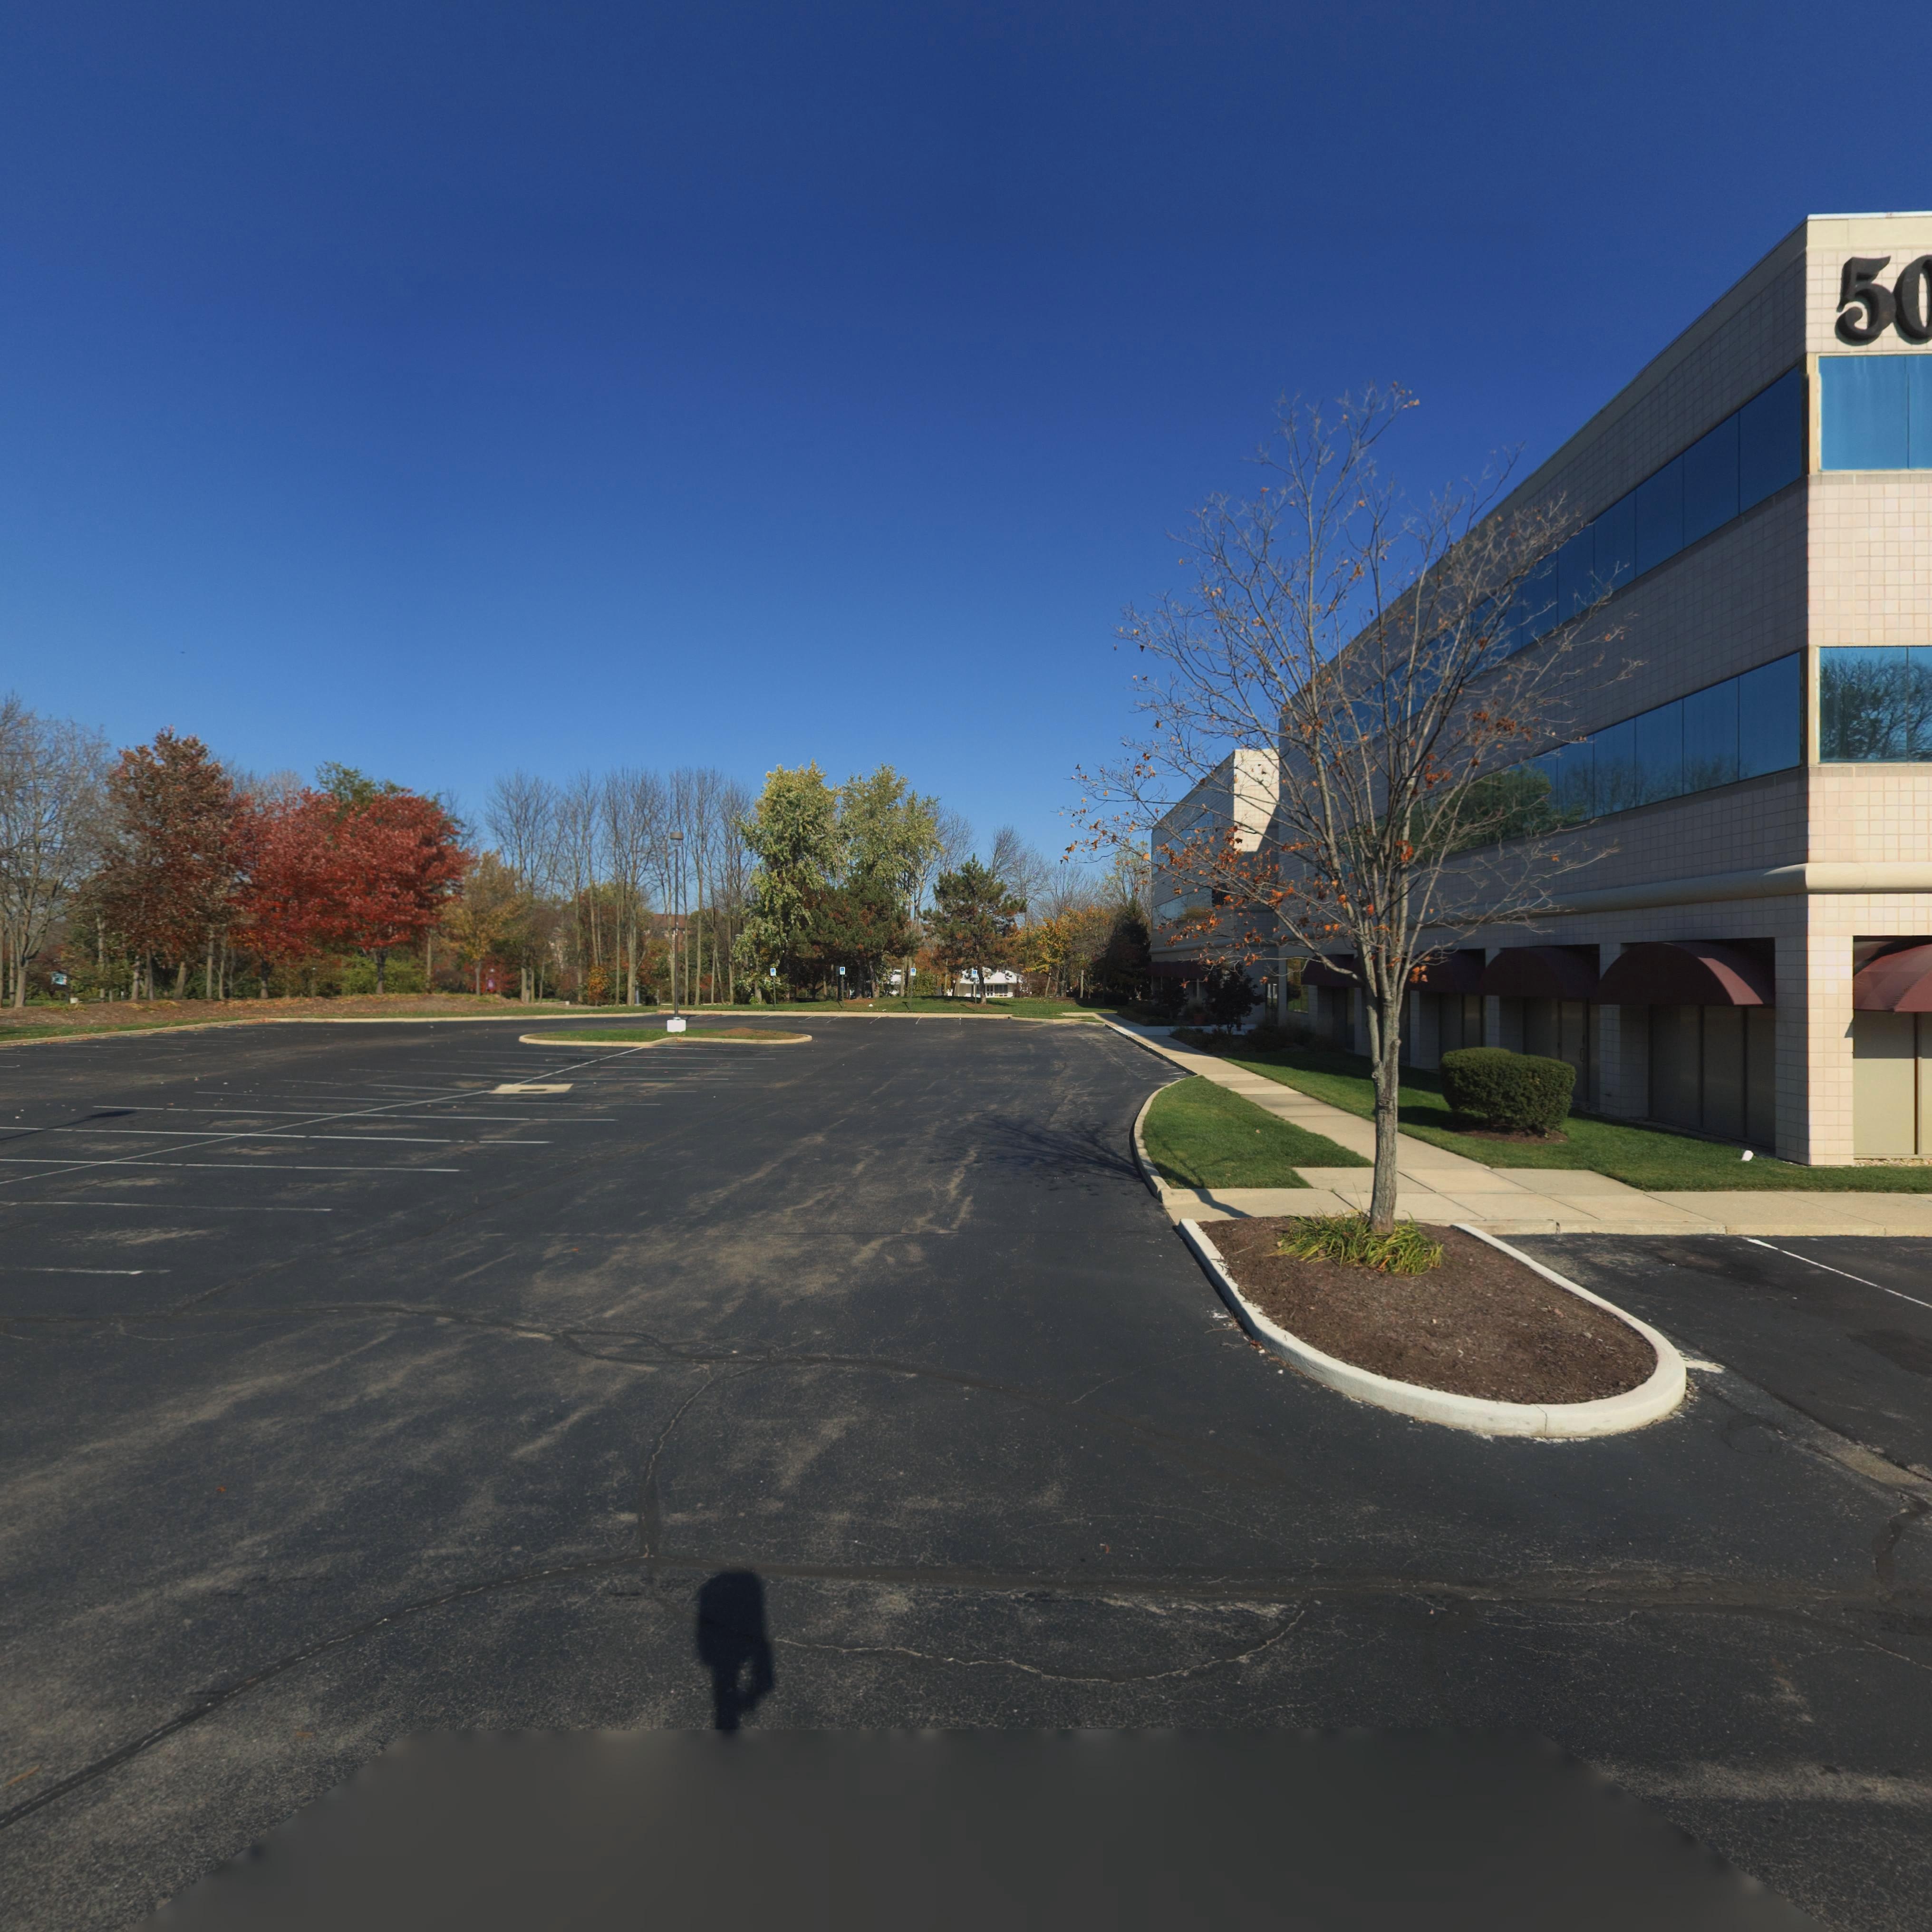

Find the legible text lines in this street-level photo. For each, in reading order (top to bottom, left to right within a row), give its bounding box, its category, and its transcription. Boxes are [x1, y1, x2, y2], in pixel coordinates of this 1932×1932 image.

[1835, 254, 1897, 342] StreetNumber: 5